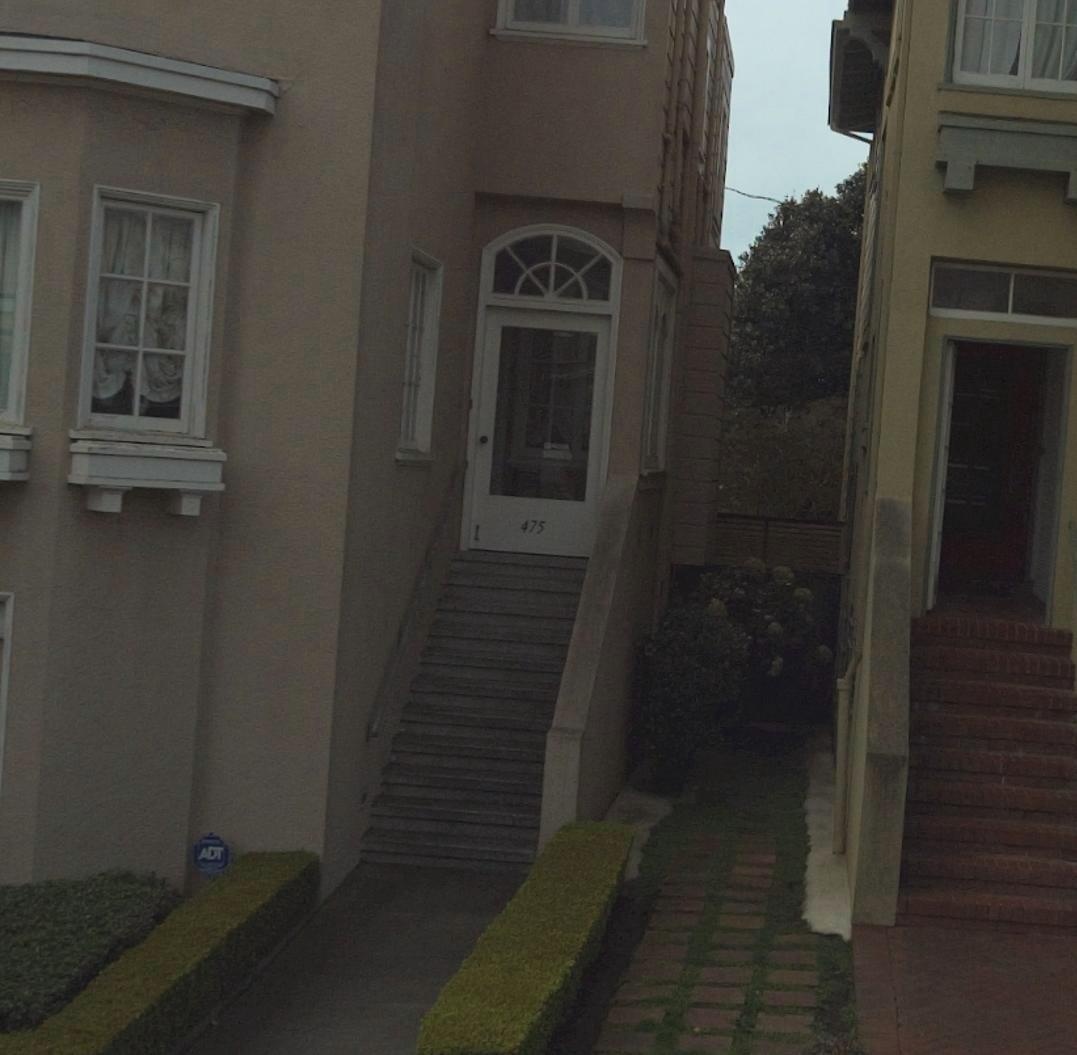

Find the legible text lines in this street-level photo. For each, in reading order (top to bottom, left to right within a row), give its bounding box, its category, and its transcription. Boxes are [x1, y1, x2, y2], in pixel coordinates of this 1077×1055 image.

[517, 518, 548, 535] StreetNumber: 475
[197, 845, 225, 861] None: ADT